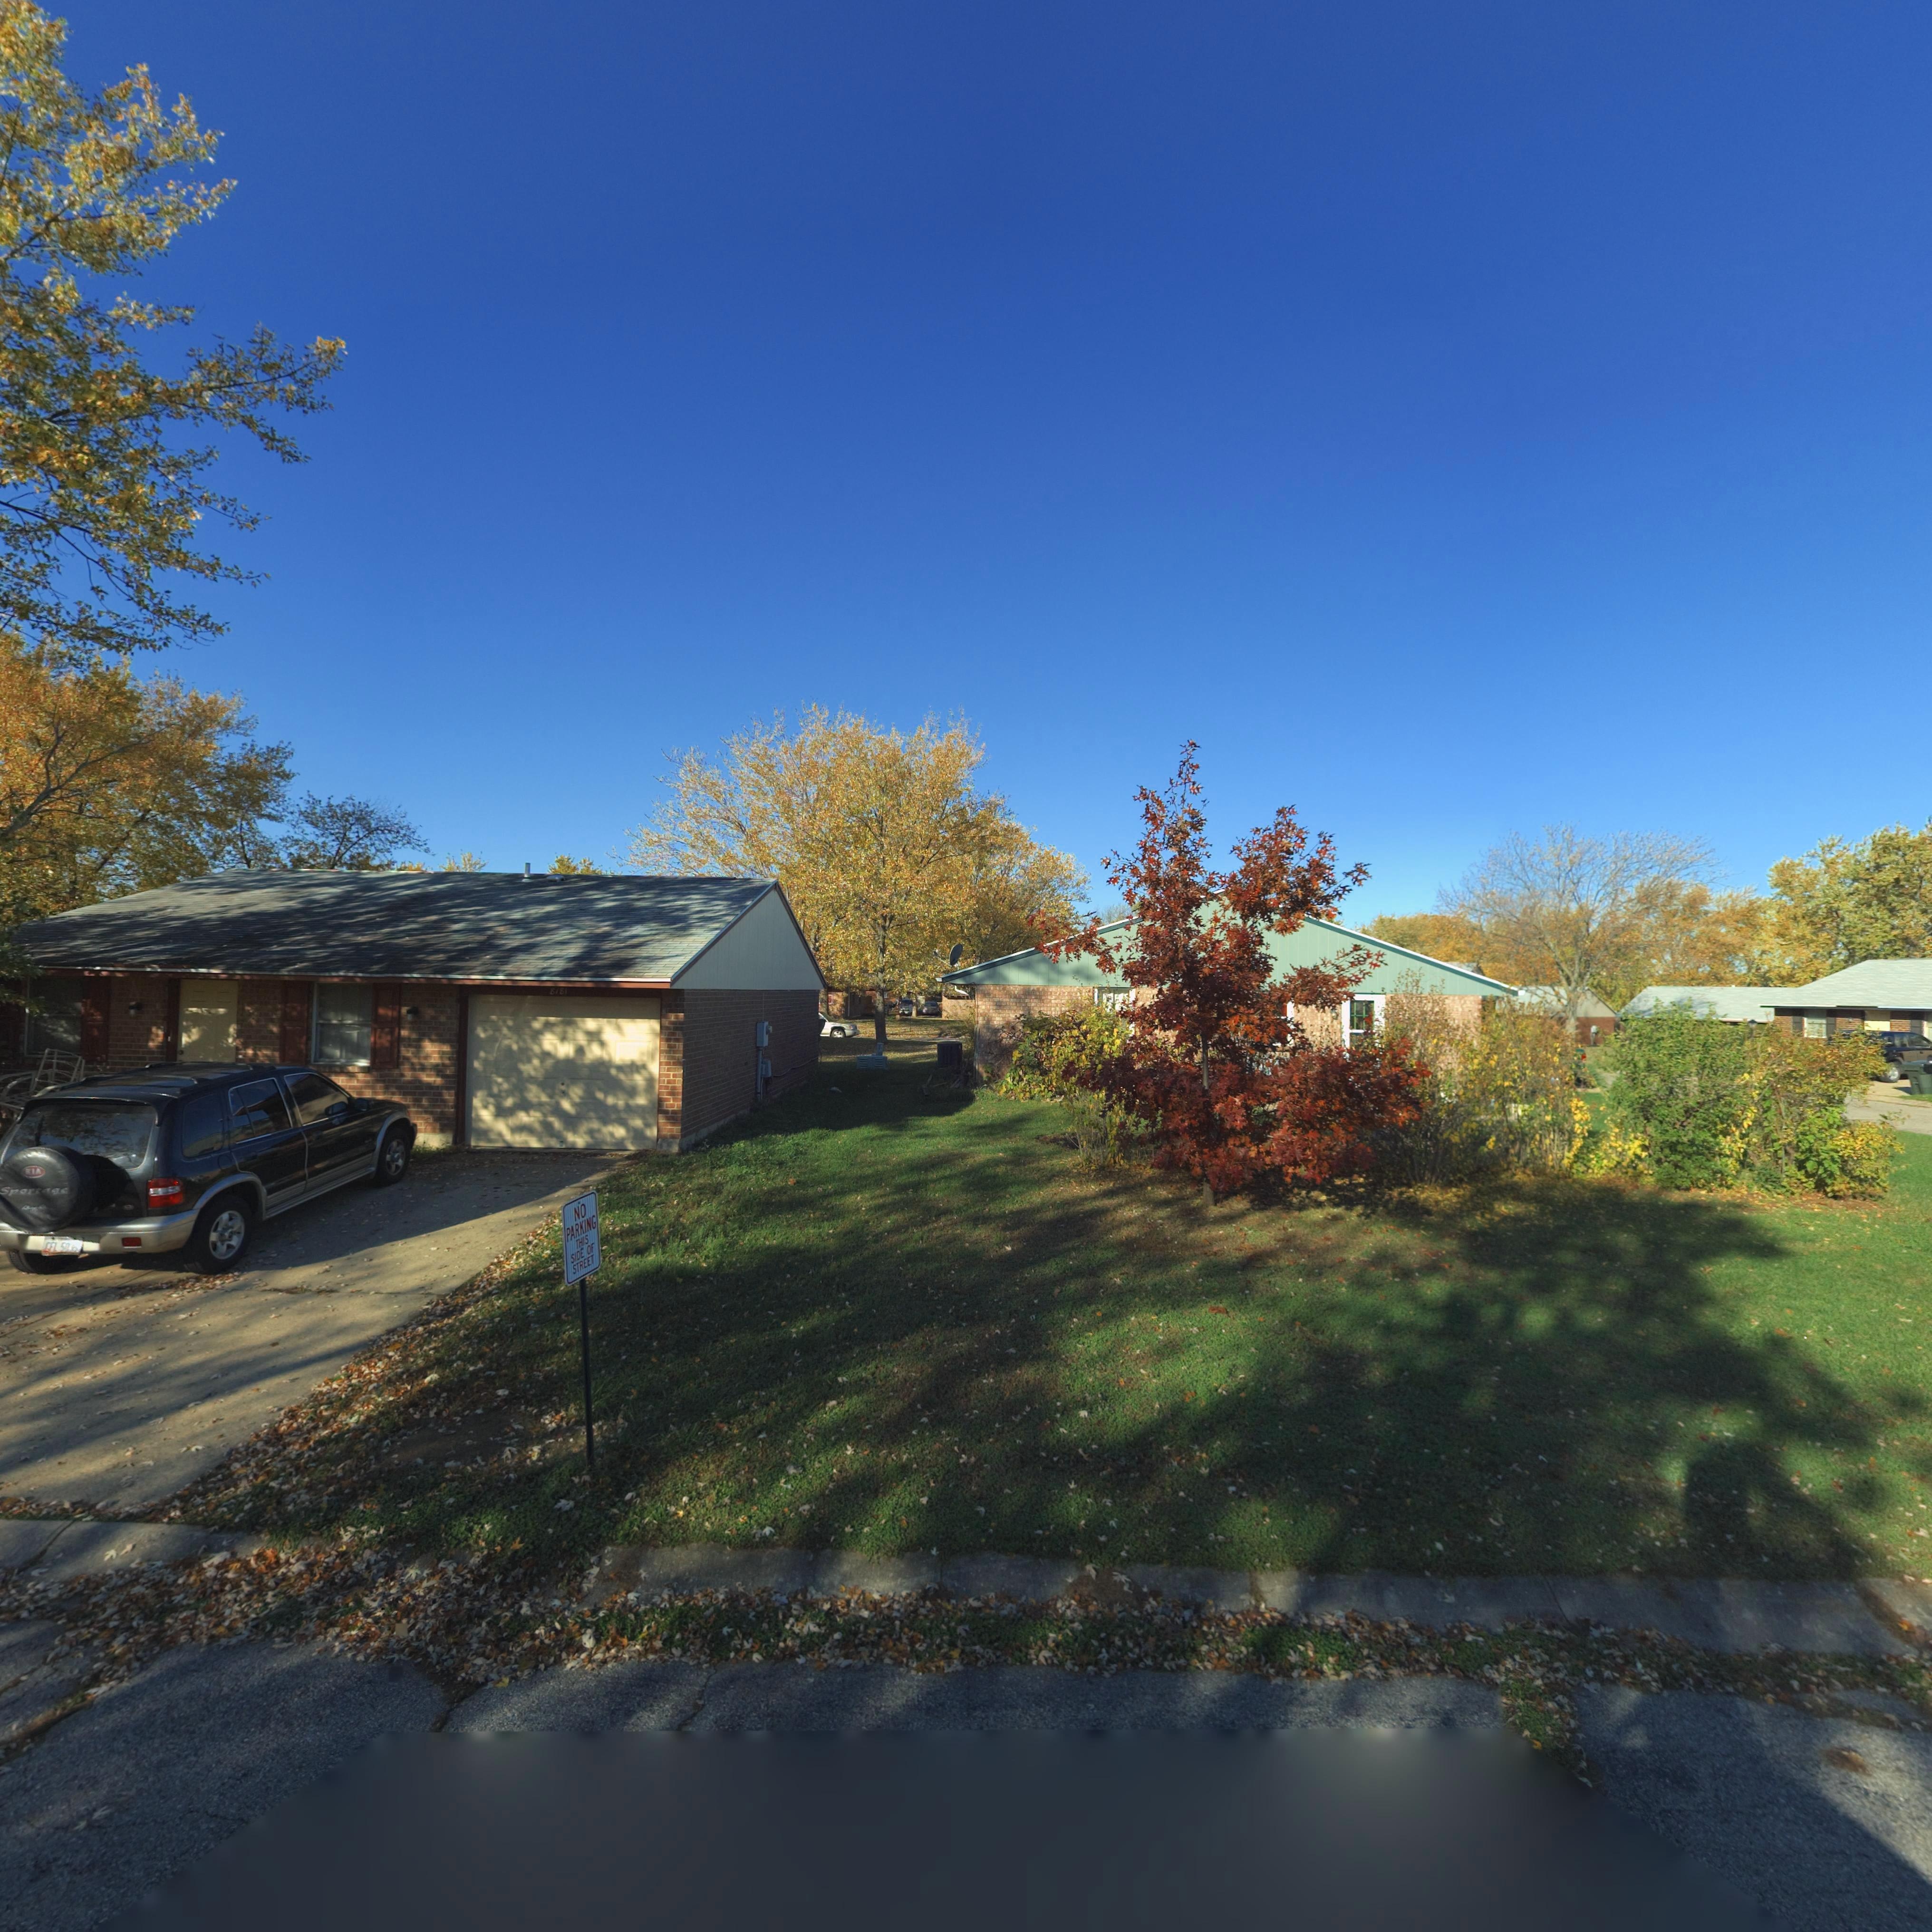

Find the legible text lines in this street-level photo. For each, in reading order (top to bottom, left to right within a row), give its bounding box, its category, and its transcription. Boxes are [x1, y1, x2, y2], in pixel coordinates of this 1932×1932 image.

[548, 986, 569, 996] StreetNumber: 8181